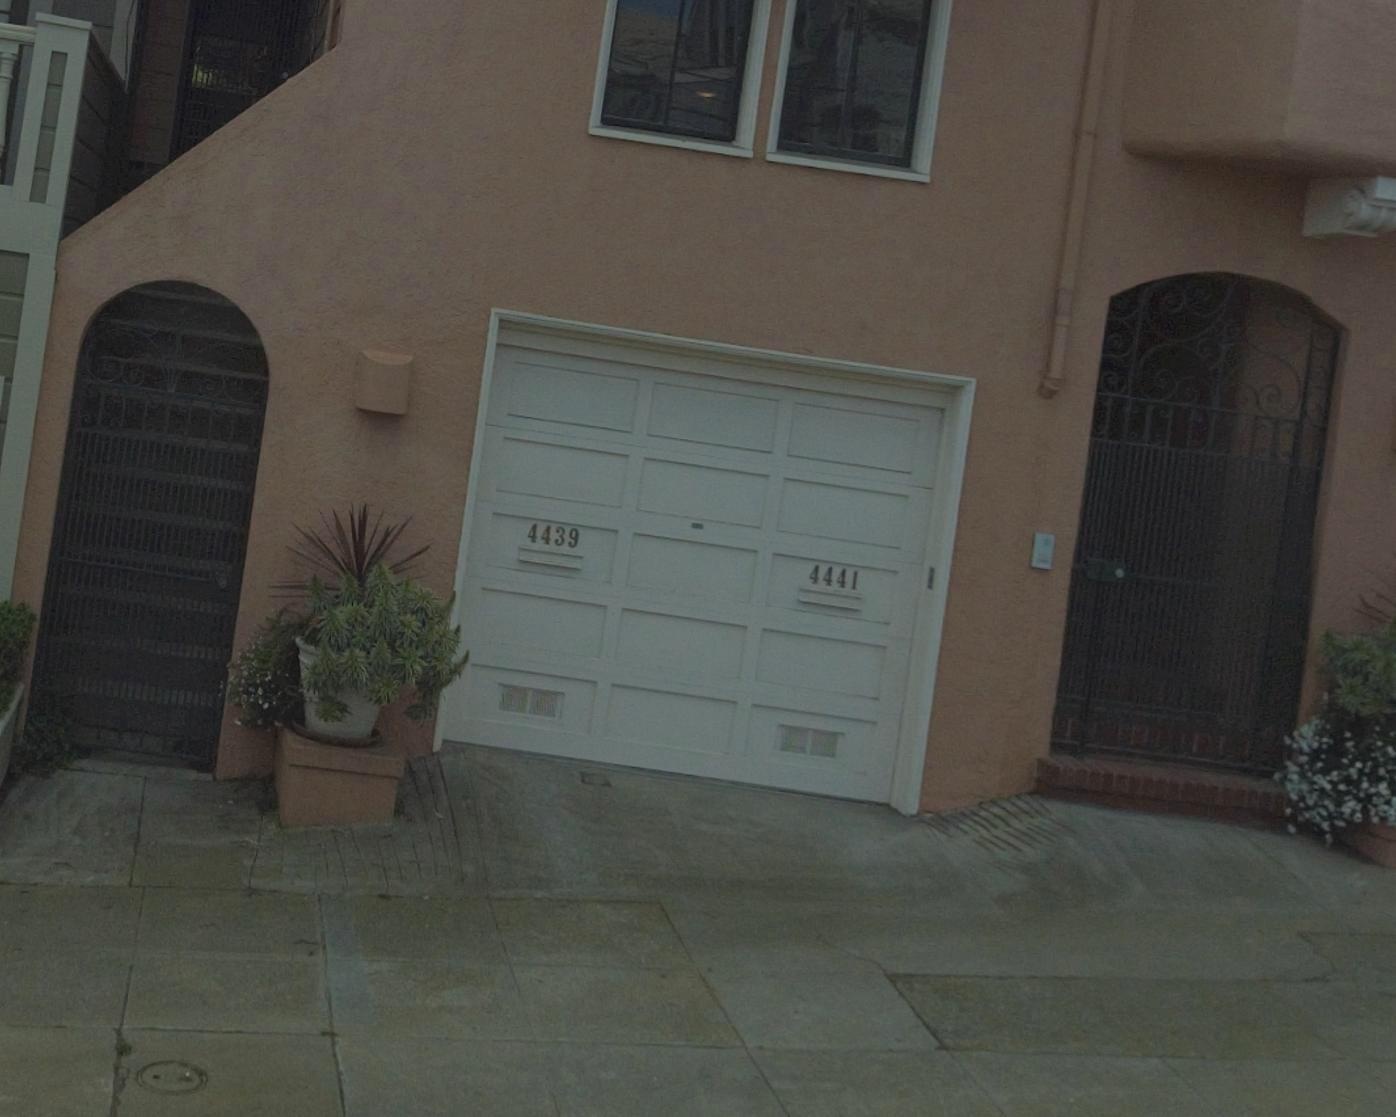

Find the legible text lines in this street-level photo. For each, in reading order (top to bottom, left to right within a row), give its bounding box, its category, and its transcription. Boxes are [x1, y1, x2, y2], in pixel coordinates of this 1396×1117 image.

[526, 521, 580, 549] StreetNumber: 4439
[807, 563, 859, 592] StreetNumber: 4441